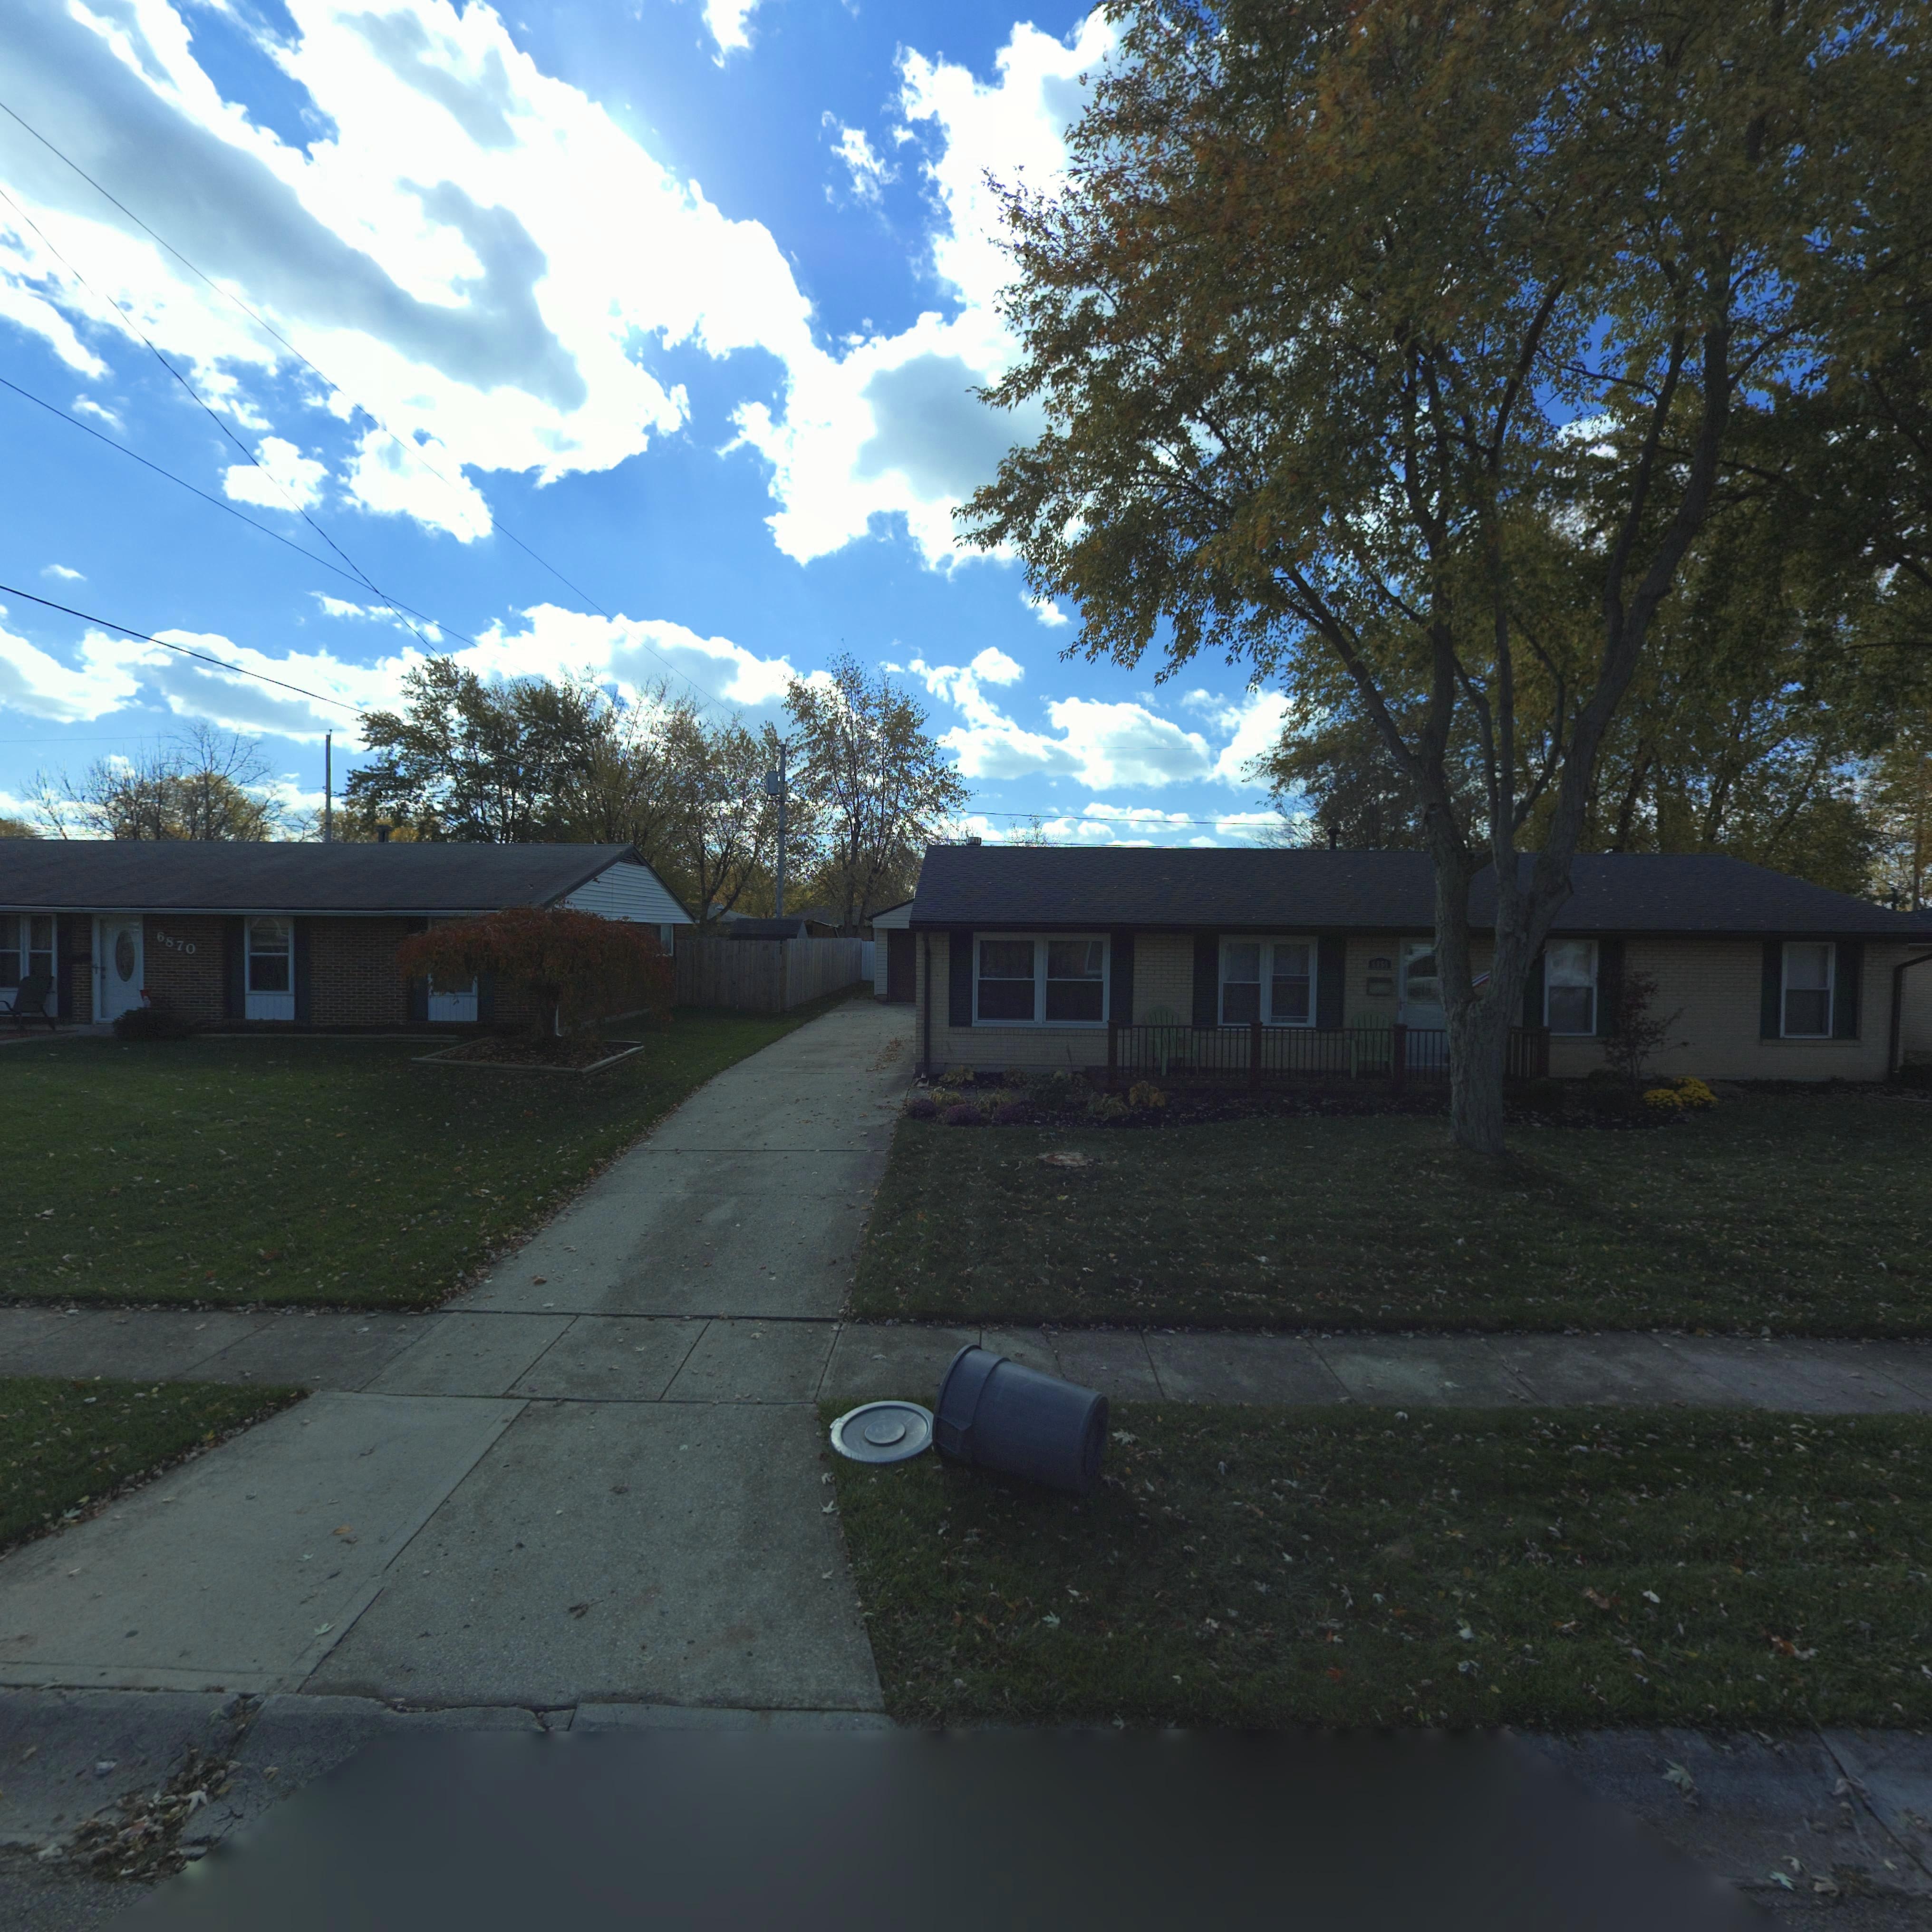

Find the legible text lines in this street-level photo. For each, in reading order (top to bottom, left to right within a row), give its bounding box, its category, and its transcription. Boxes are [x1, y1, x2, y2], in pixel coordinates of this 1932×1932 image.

[156, 931, 196, 956] StreetNumber: 6870
[1370, 960, 1389, 969] StreetNumber: 685*